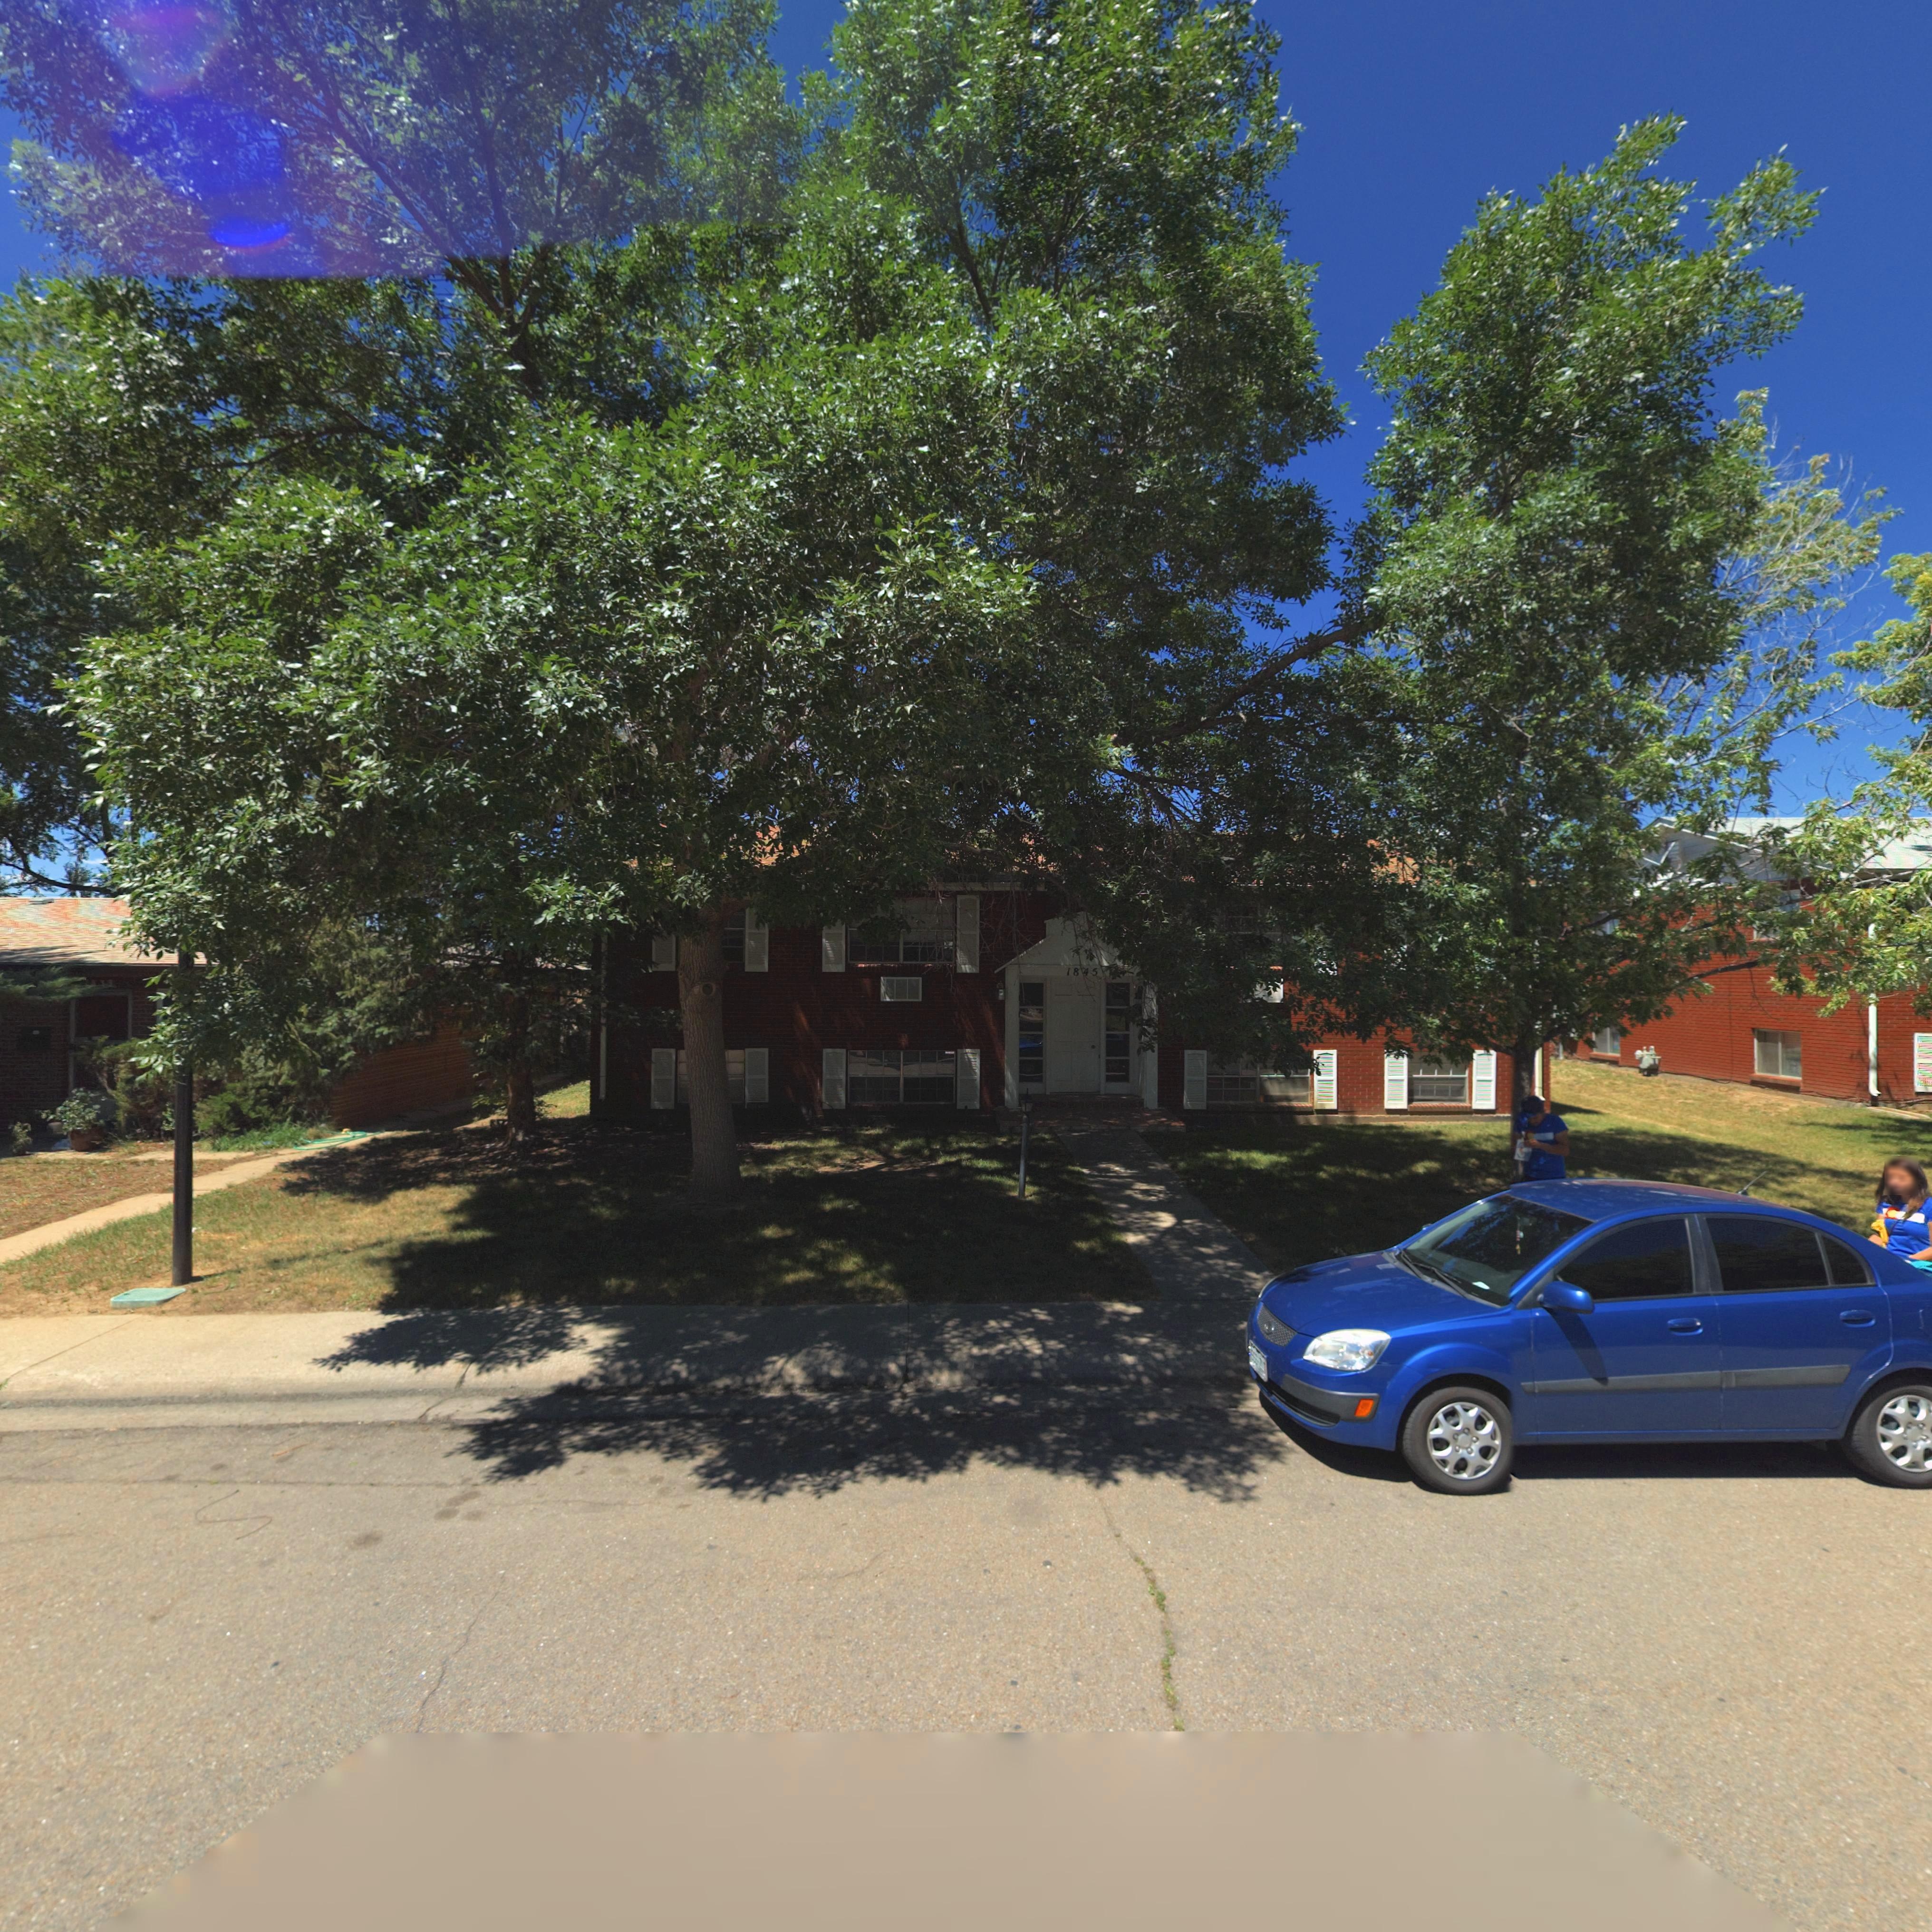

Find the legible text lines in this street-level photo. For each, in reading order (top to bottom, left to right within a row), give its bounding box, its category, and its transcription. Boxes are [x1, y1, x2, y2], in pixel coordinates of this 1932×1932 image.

[1066, 967, 1097, 976] StreetNumber: 1845
[86, 978, 113, 985] StreetNumber: 183*